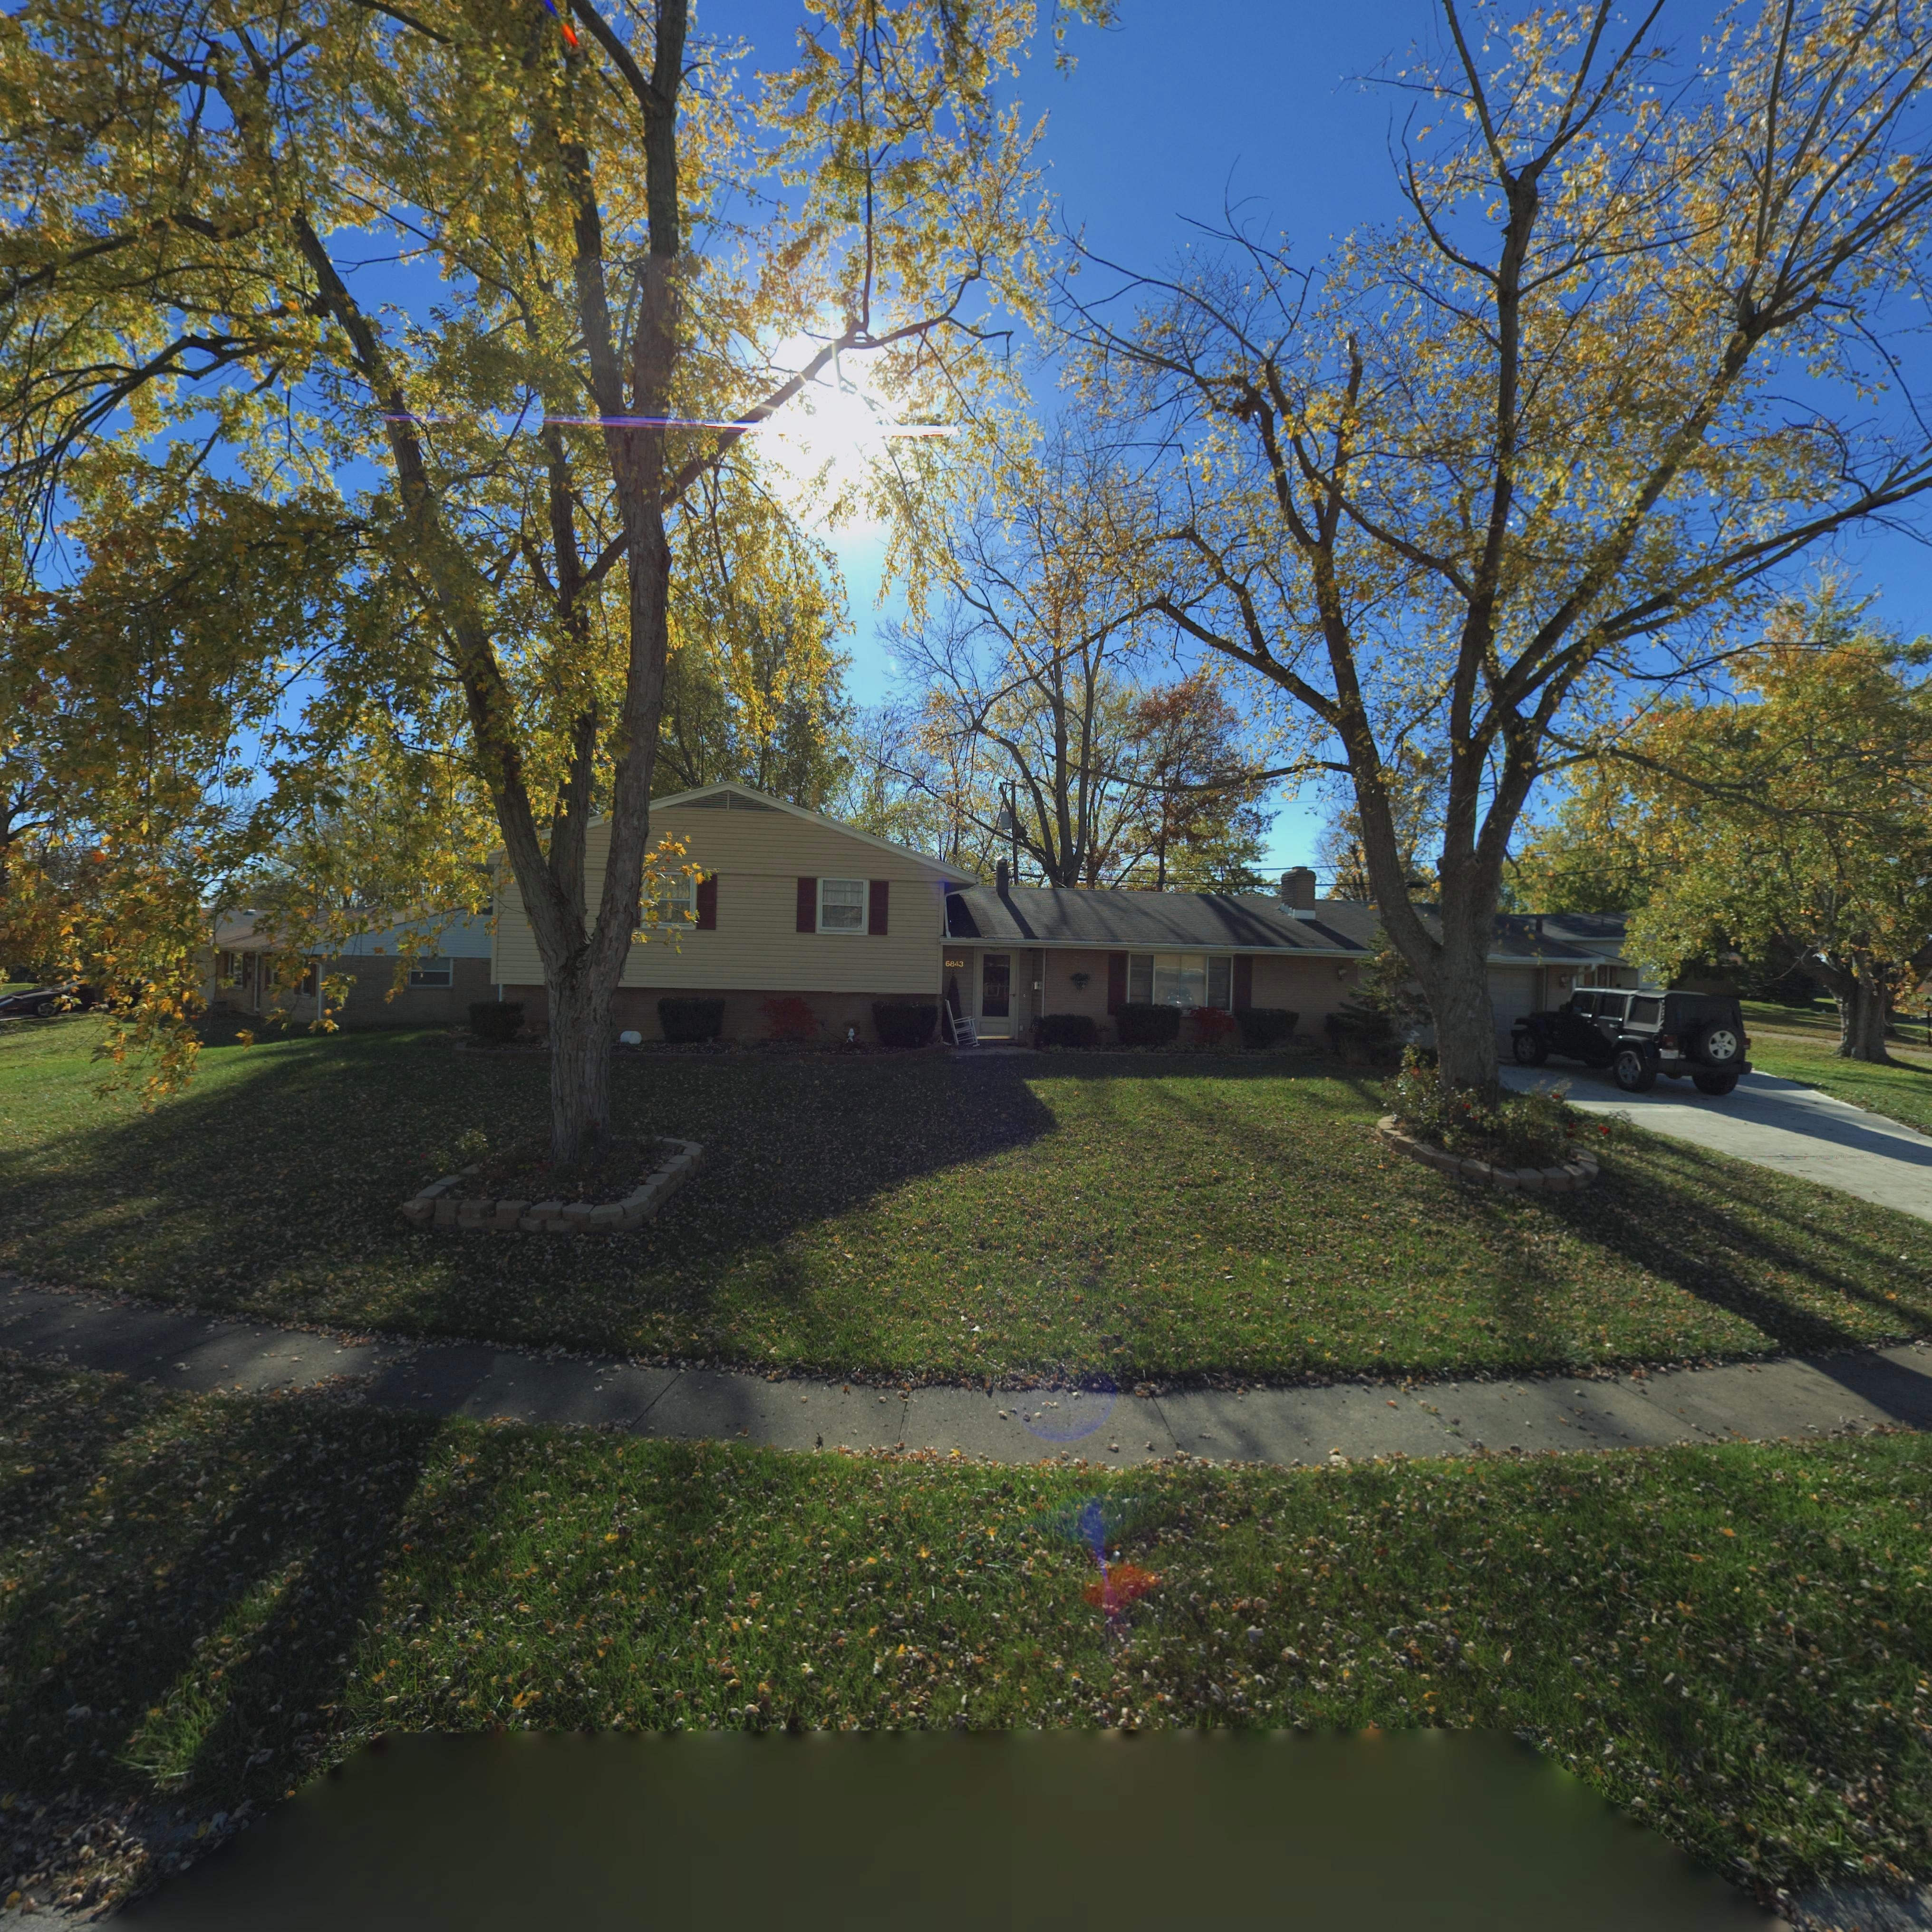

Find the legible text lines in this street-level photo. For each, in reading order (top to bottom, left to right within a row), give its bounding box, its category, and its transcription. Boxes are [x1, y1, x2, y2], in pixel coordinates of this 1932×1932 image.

[945, 960, 964, 967] StreetNumber: 6843